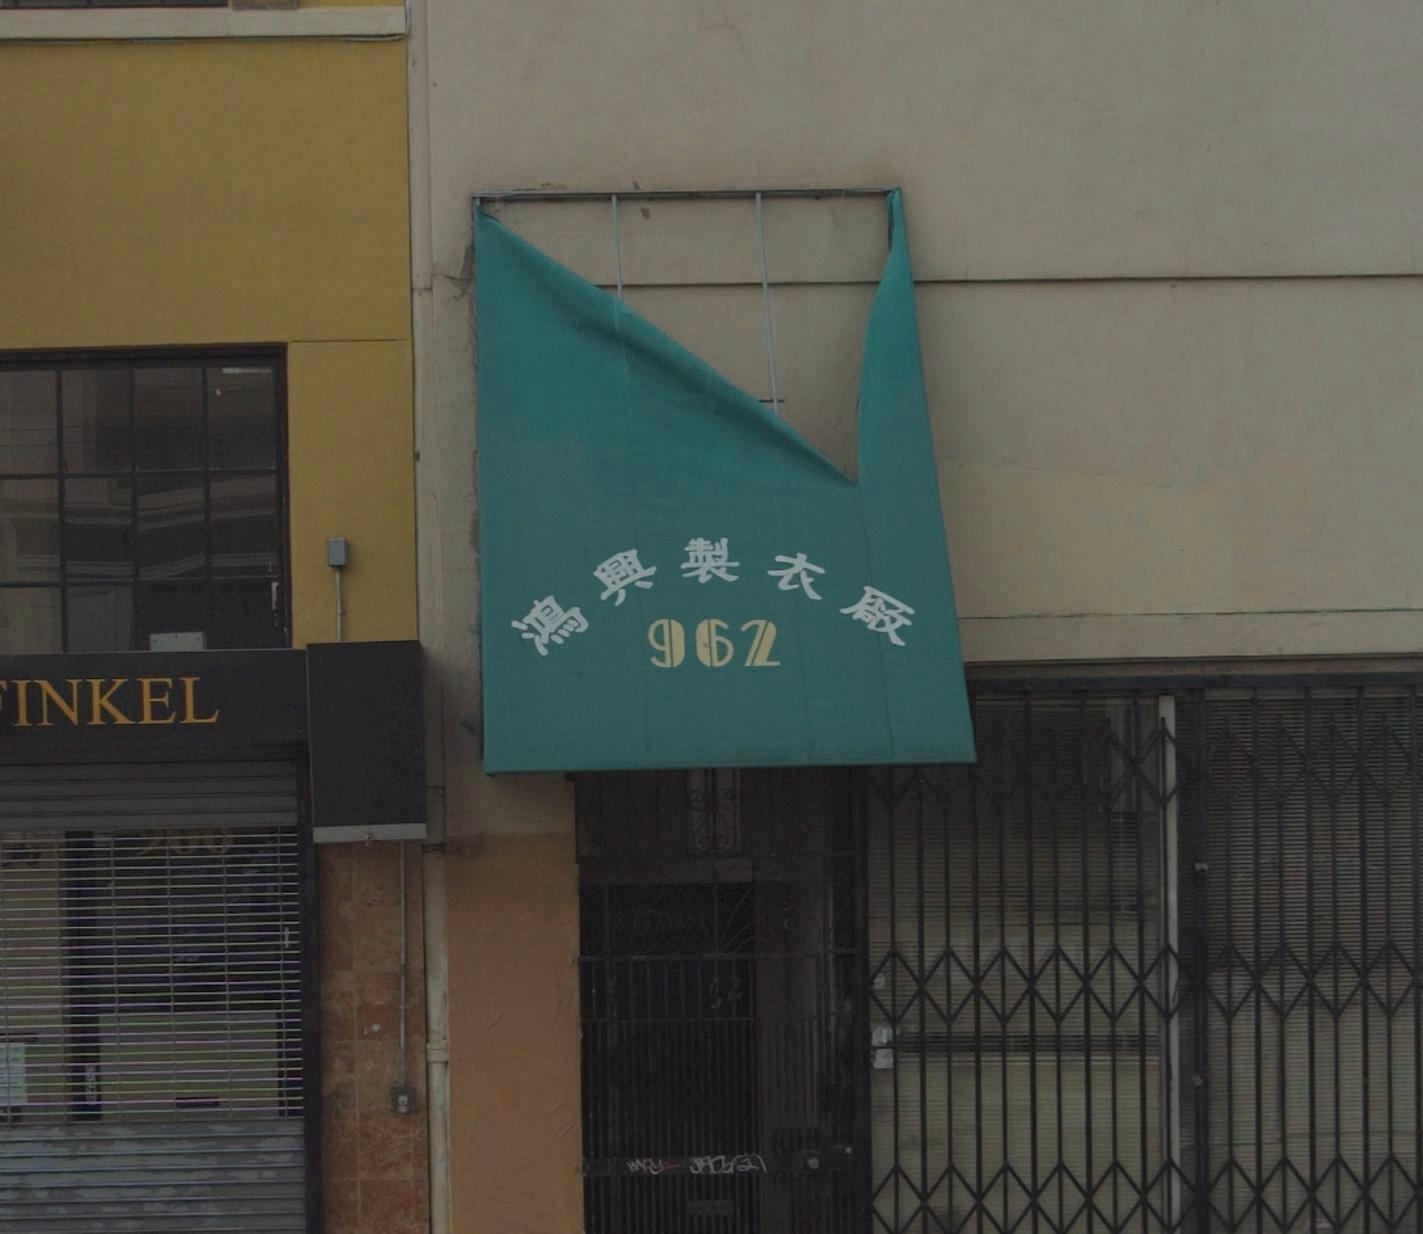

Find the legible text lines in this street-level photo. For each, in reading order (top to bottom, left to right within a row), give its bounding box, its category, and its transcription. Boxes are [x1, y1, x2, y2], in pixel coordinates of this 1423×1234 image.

[643, 614, 788, 673] StreetNumber: 962
[8, 672, 225, 731] BusinessName: INKEL
[673, 907, 688, 934] None: 8
[724, 972, 745, 1004] None: 2